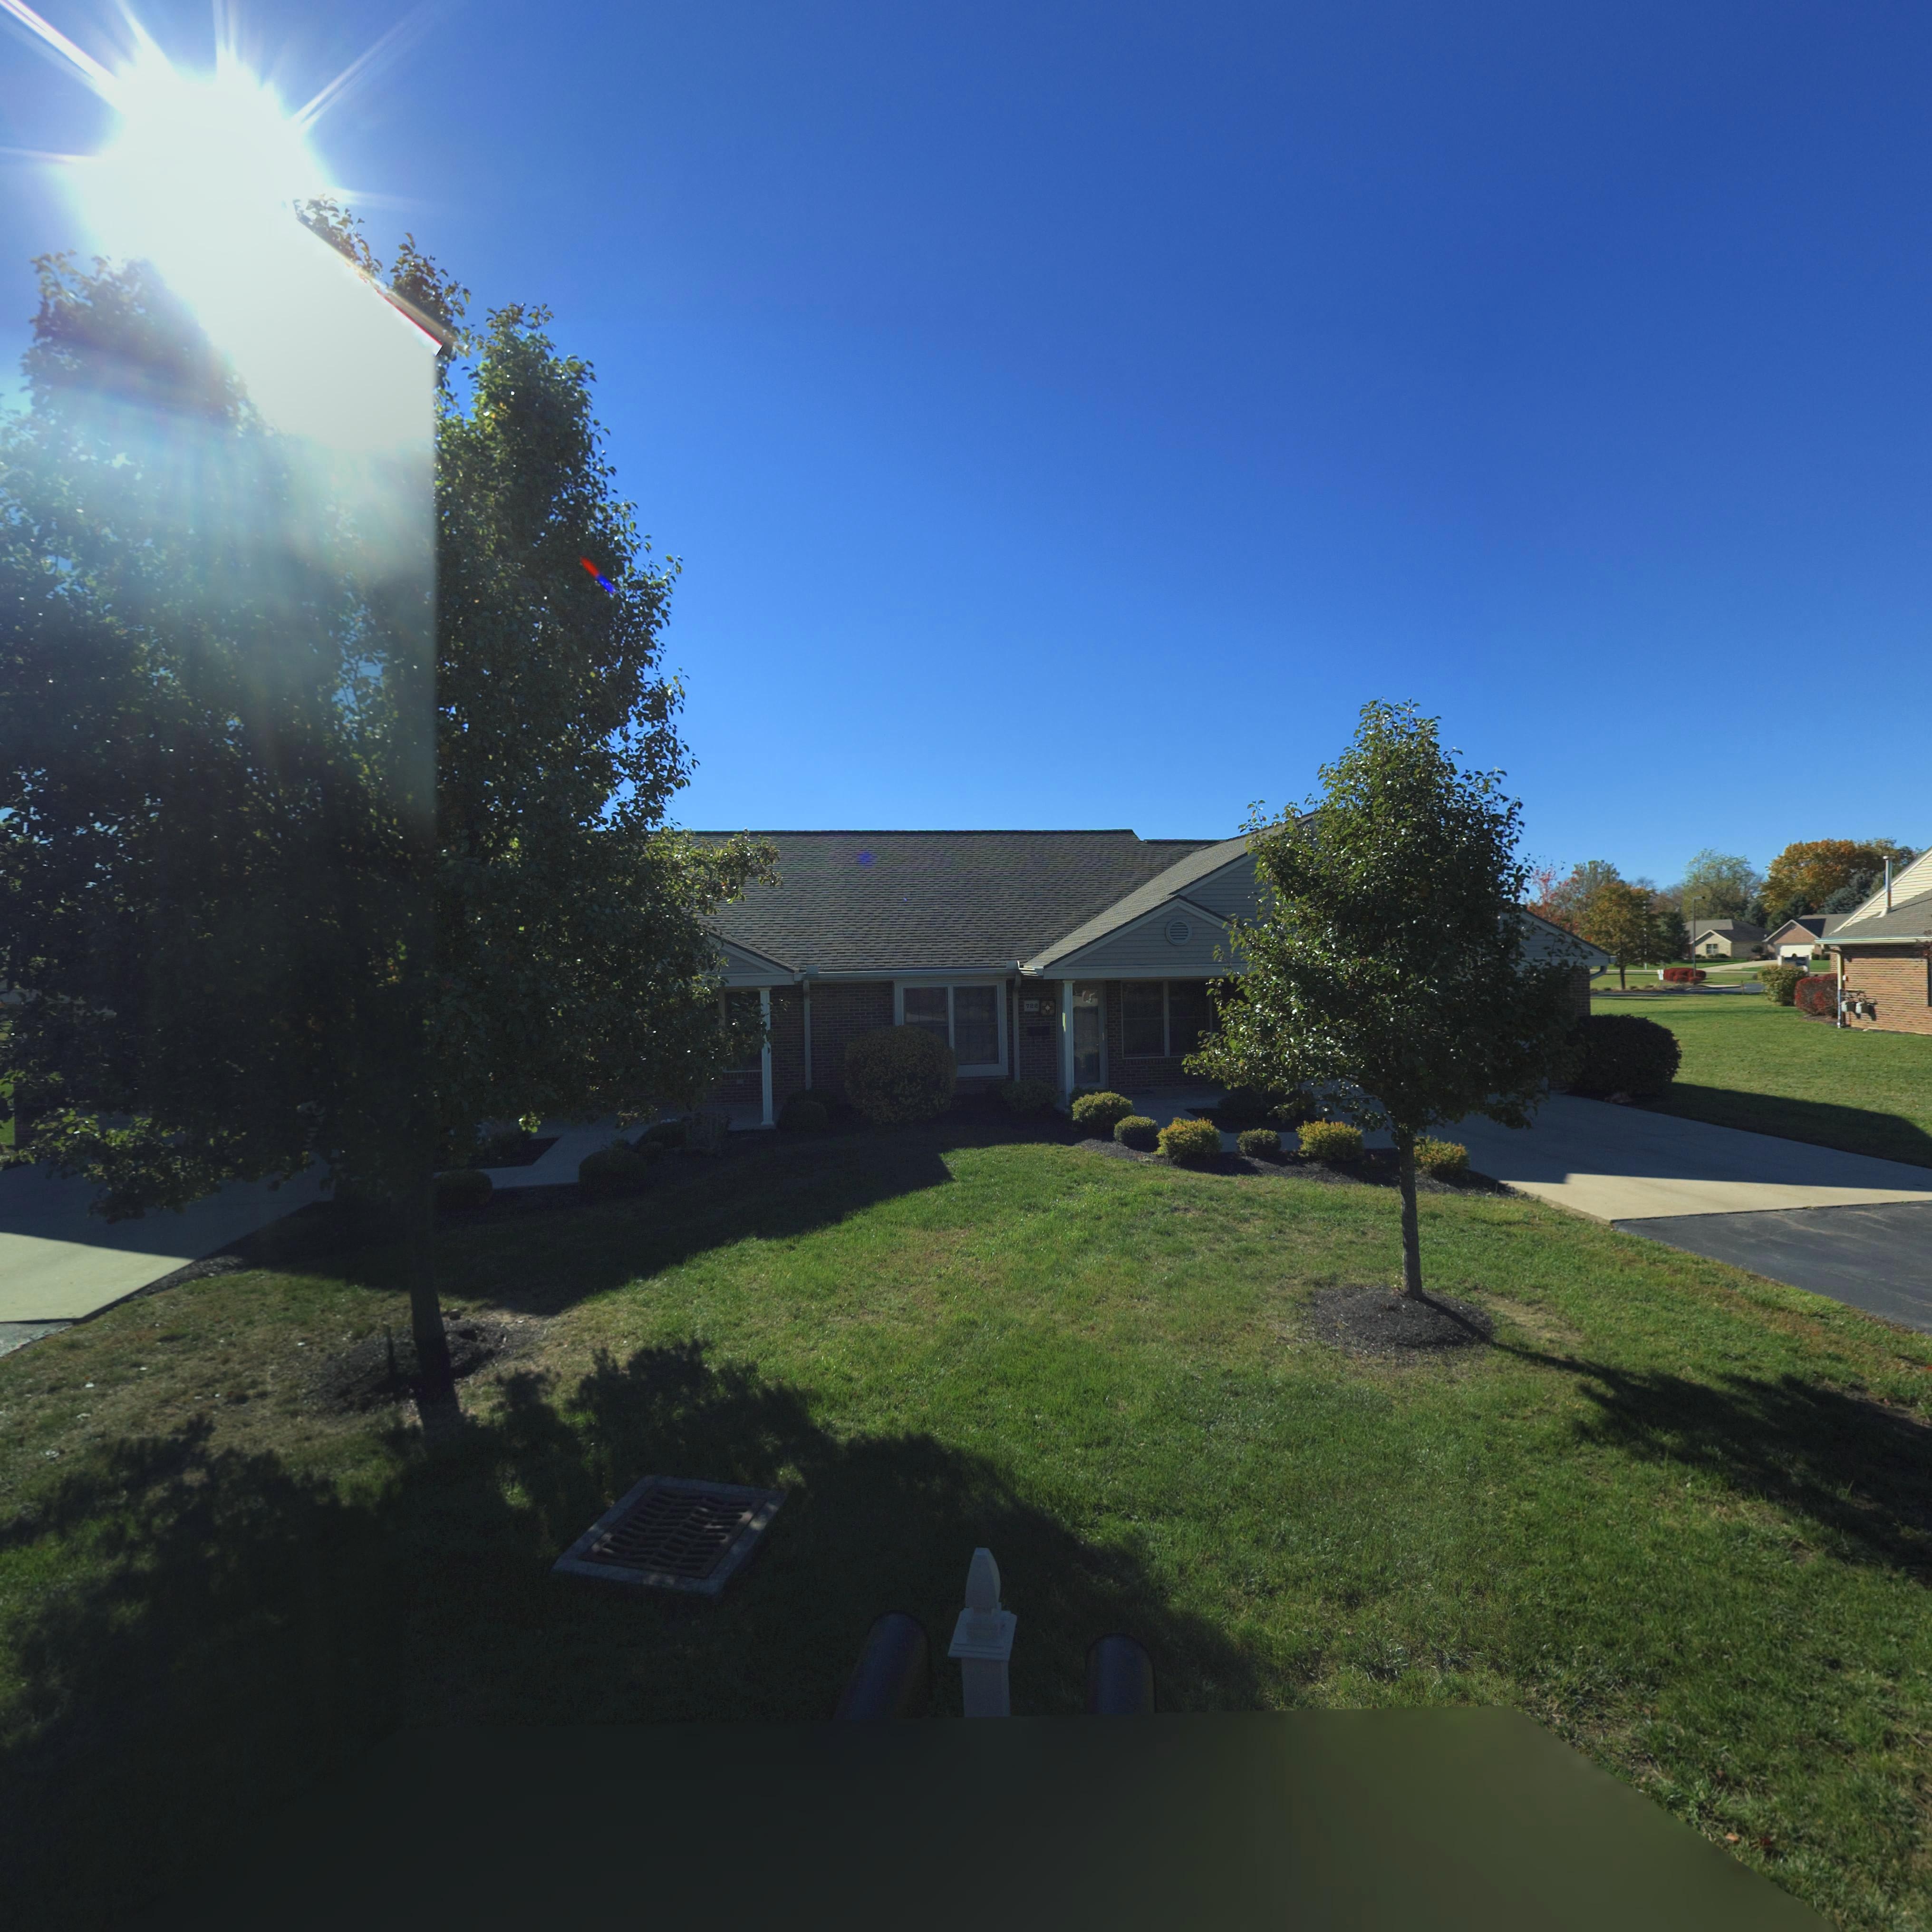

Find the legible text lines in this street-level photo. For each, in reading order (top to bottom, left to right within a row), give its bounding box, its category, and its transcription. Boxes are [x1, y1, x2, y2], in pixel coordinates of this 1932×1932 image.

[1025, 1003, 1038, 1009] StreetNumber: 722